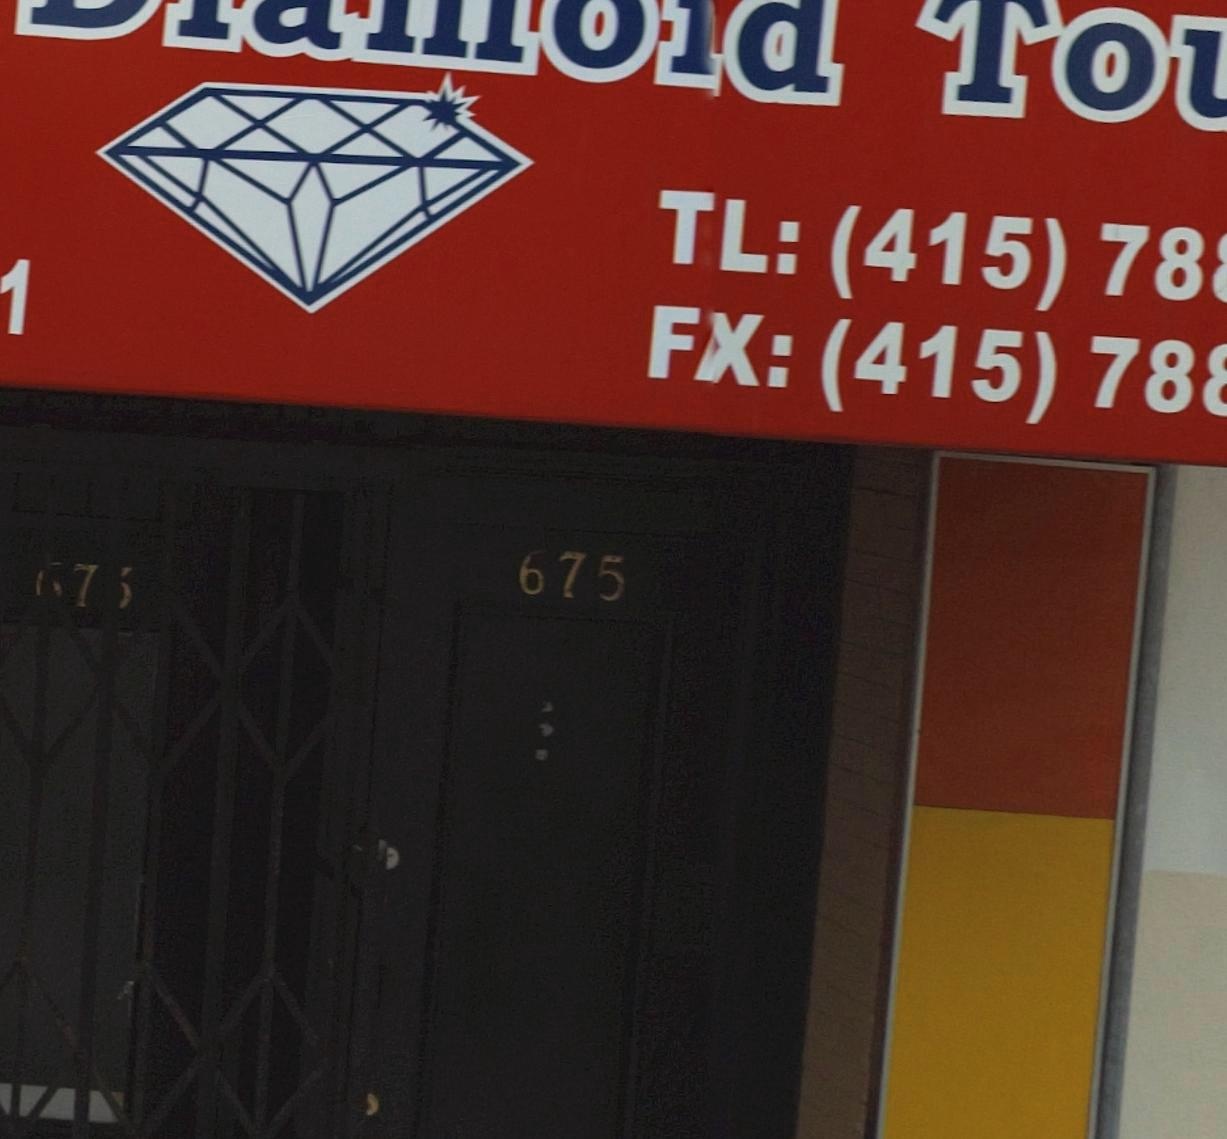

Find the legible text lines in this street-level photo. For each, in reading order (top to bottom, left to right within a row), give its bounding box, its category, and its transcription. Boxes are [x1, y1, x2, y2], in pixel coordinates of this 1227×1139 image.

[652, 179, 1215, 316] None: TL: (415) 78
[0, 251, 36, 342] None: 1
[643, 296, 1203, 429] None: FX: (415) 78
[70, 554, 108, 615] StreetNumber: 7
[512, 546, 632, 607] StreetNumber: 675